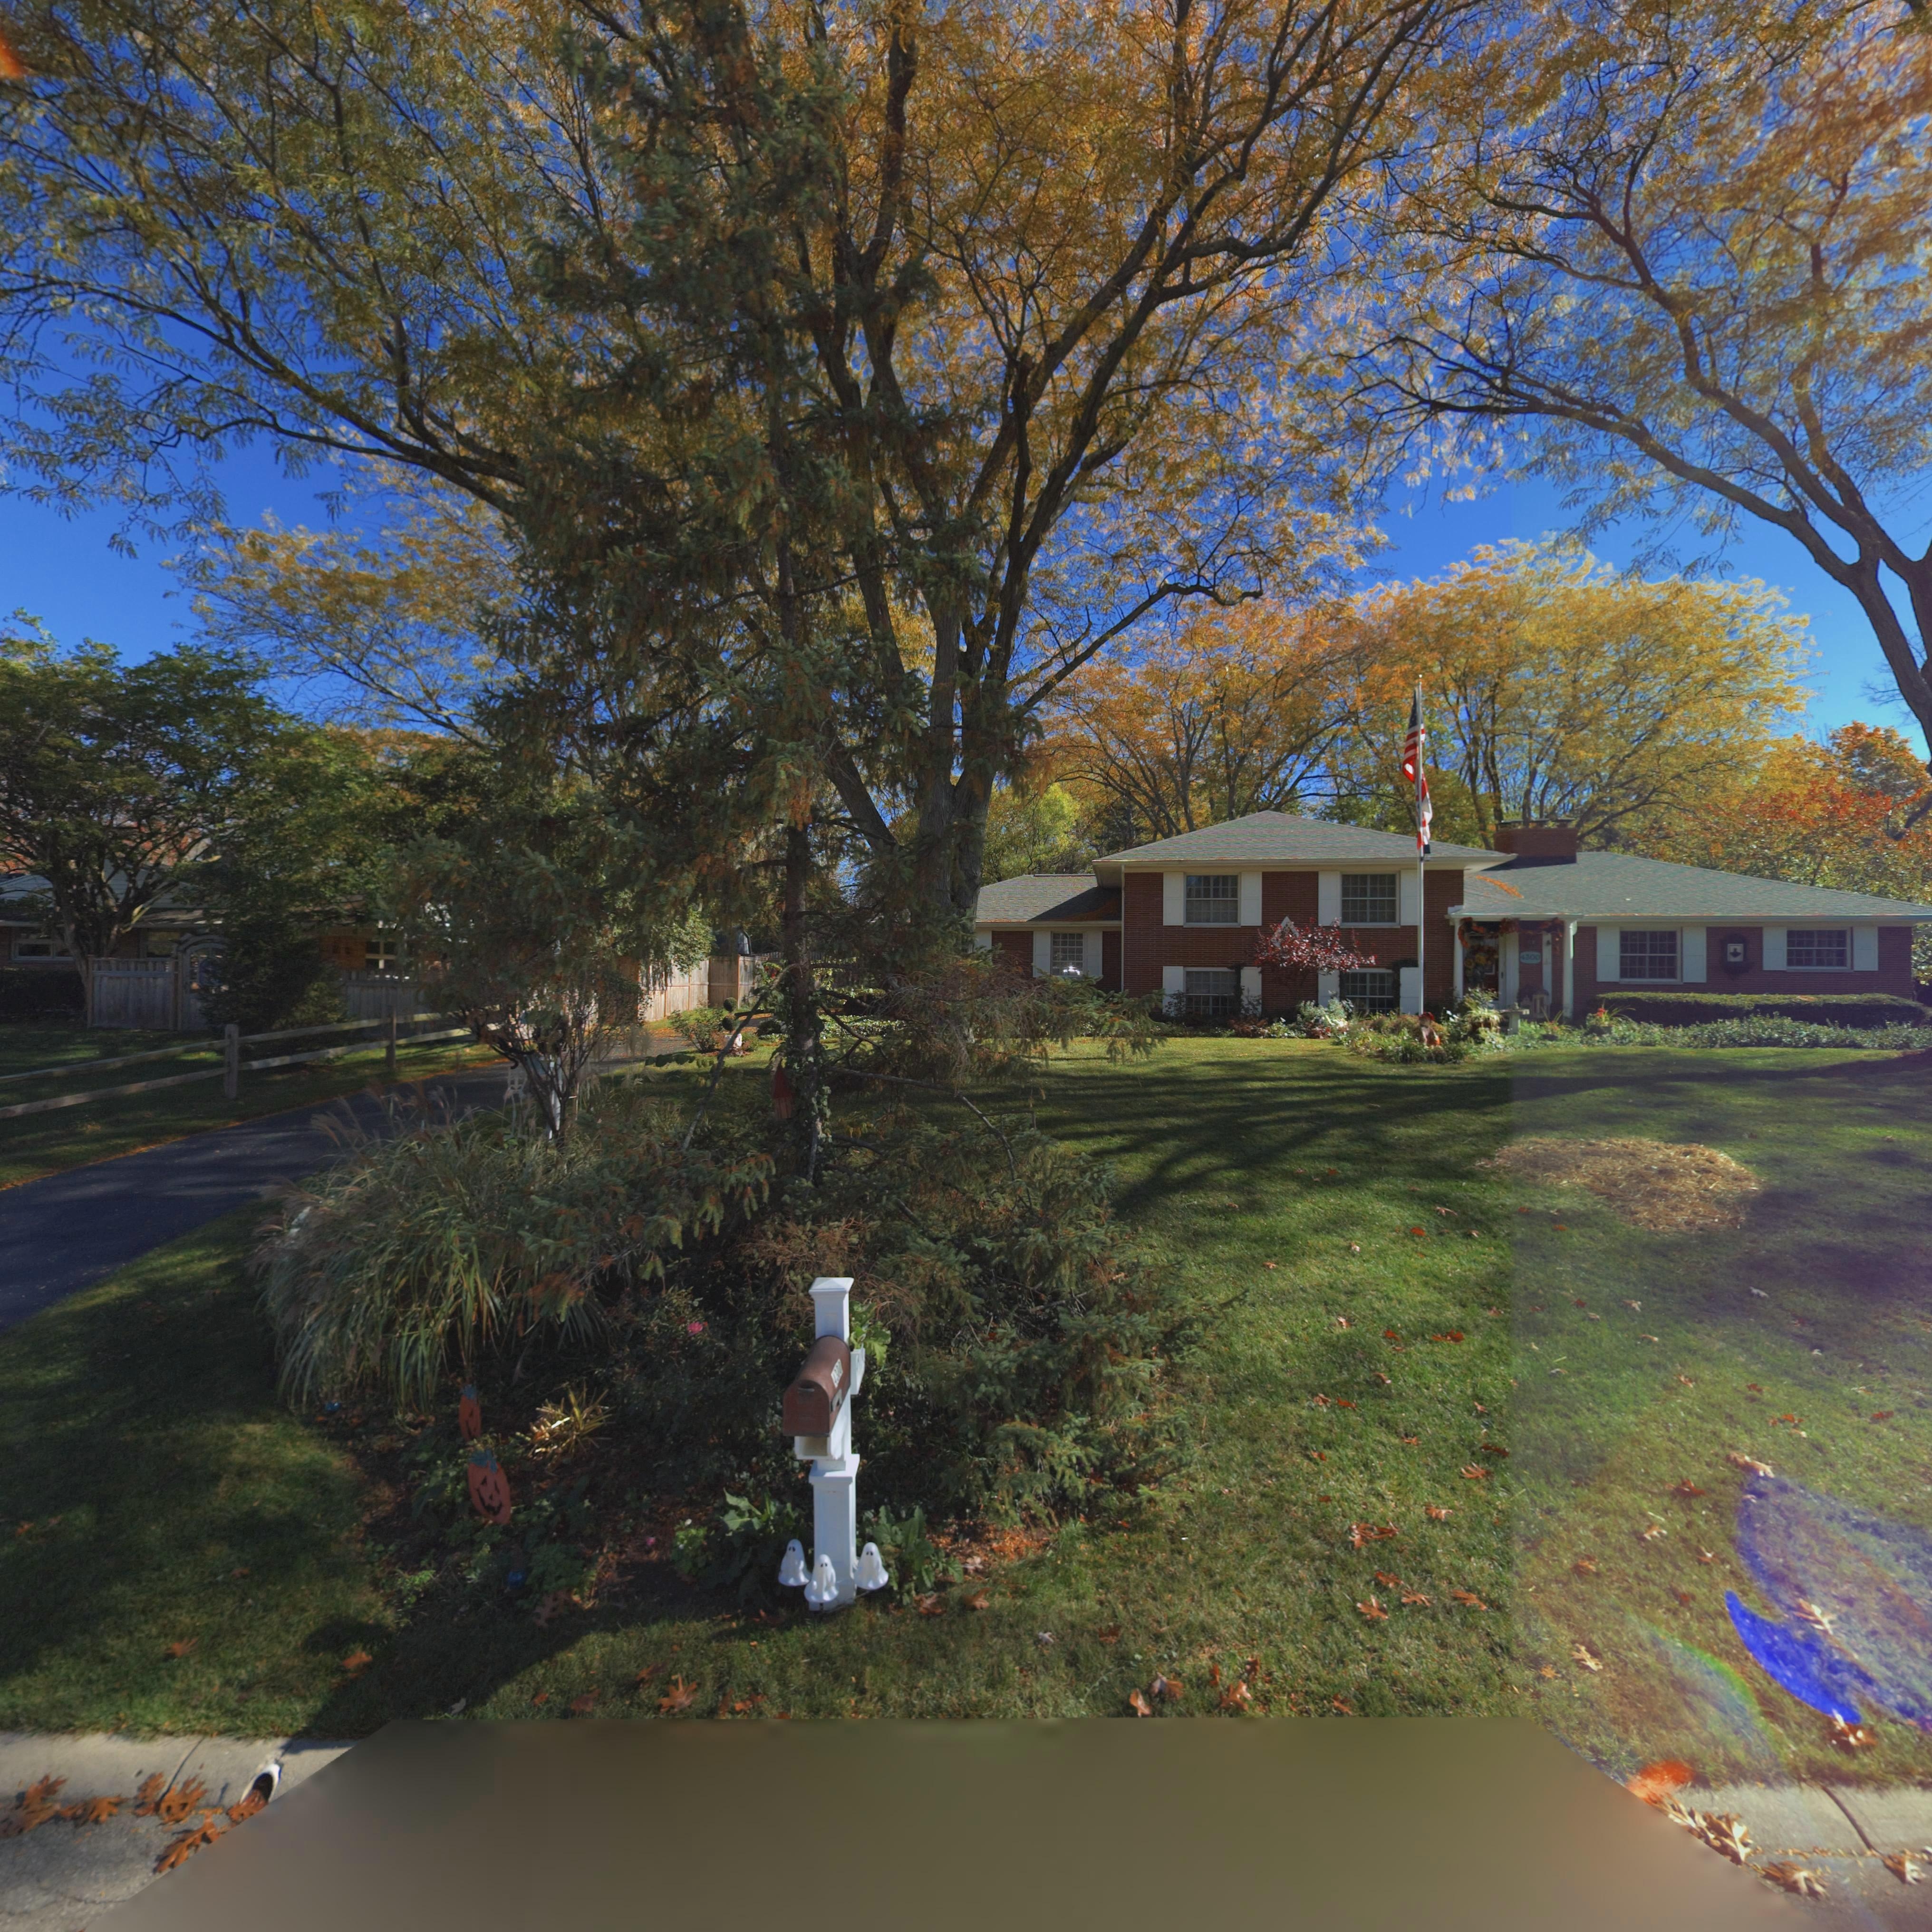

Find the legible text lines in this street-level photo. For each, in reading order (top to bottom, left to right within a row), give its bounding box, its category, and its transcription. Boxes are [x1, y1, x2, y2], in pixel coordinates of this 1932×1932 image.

[1520, 953, 1541, 961] StreetNumber: 4300